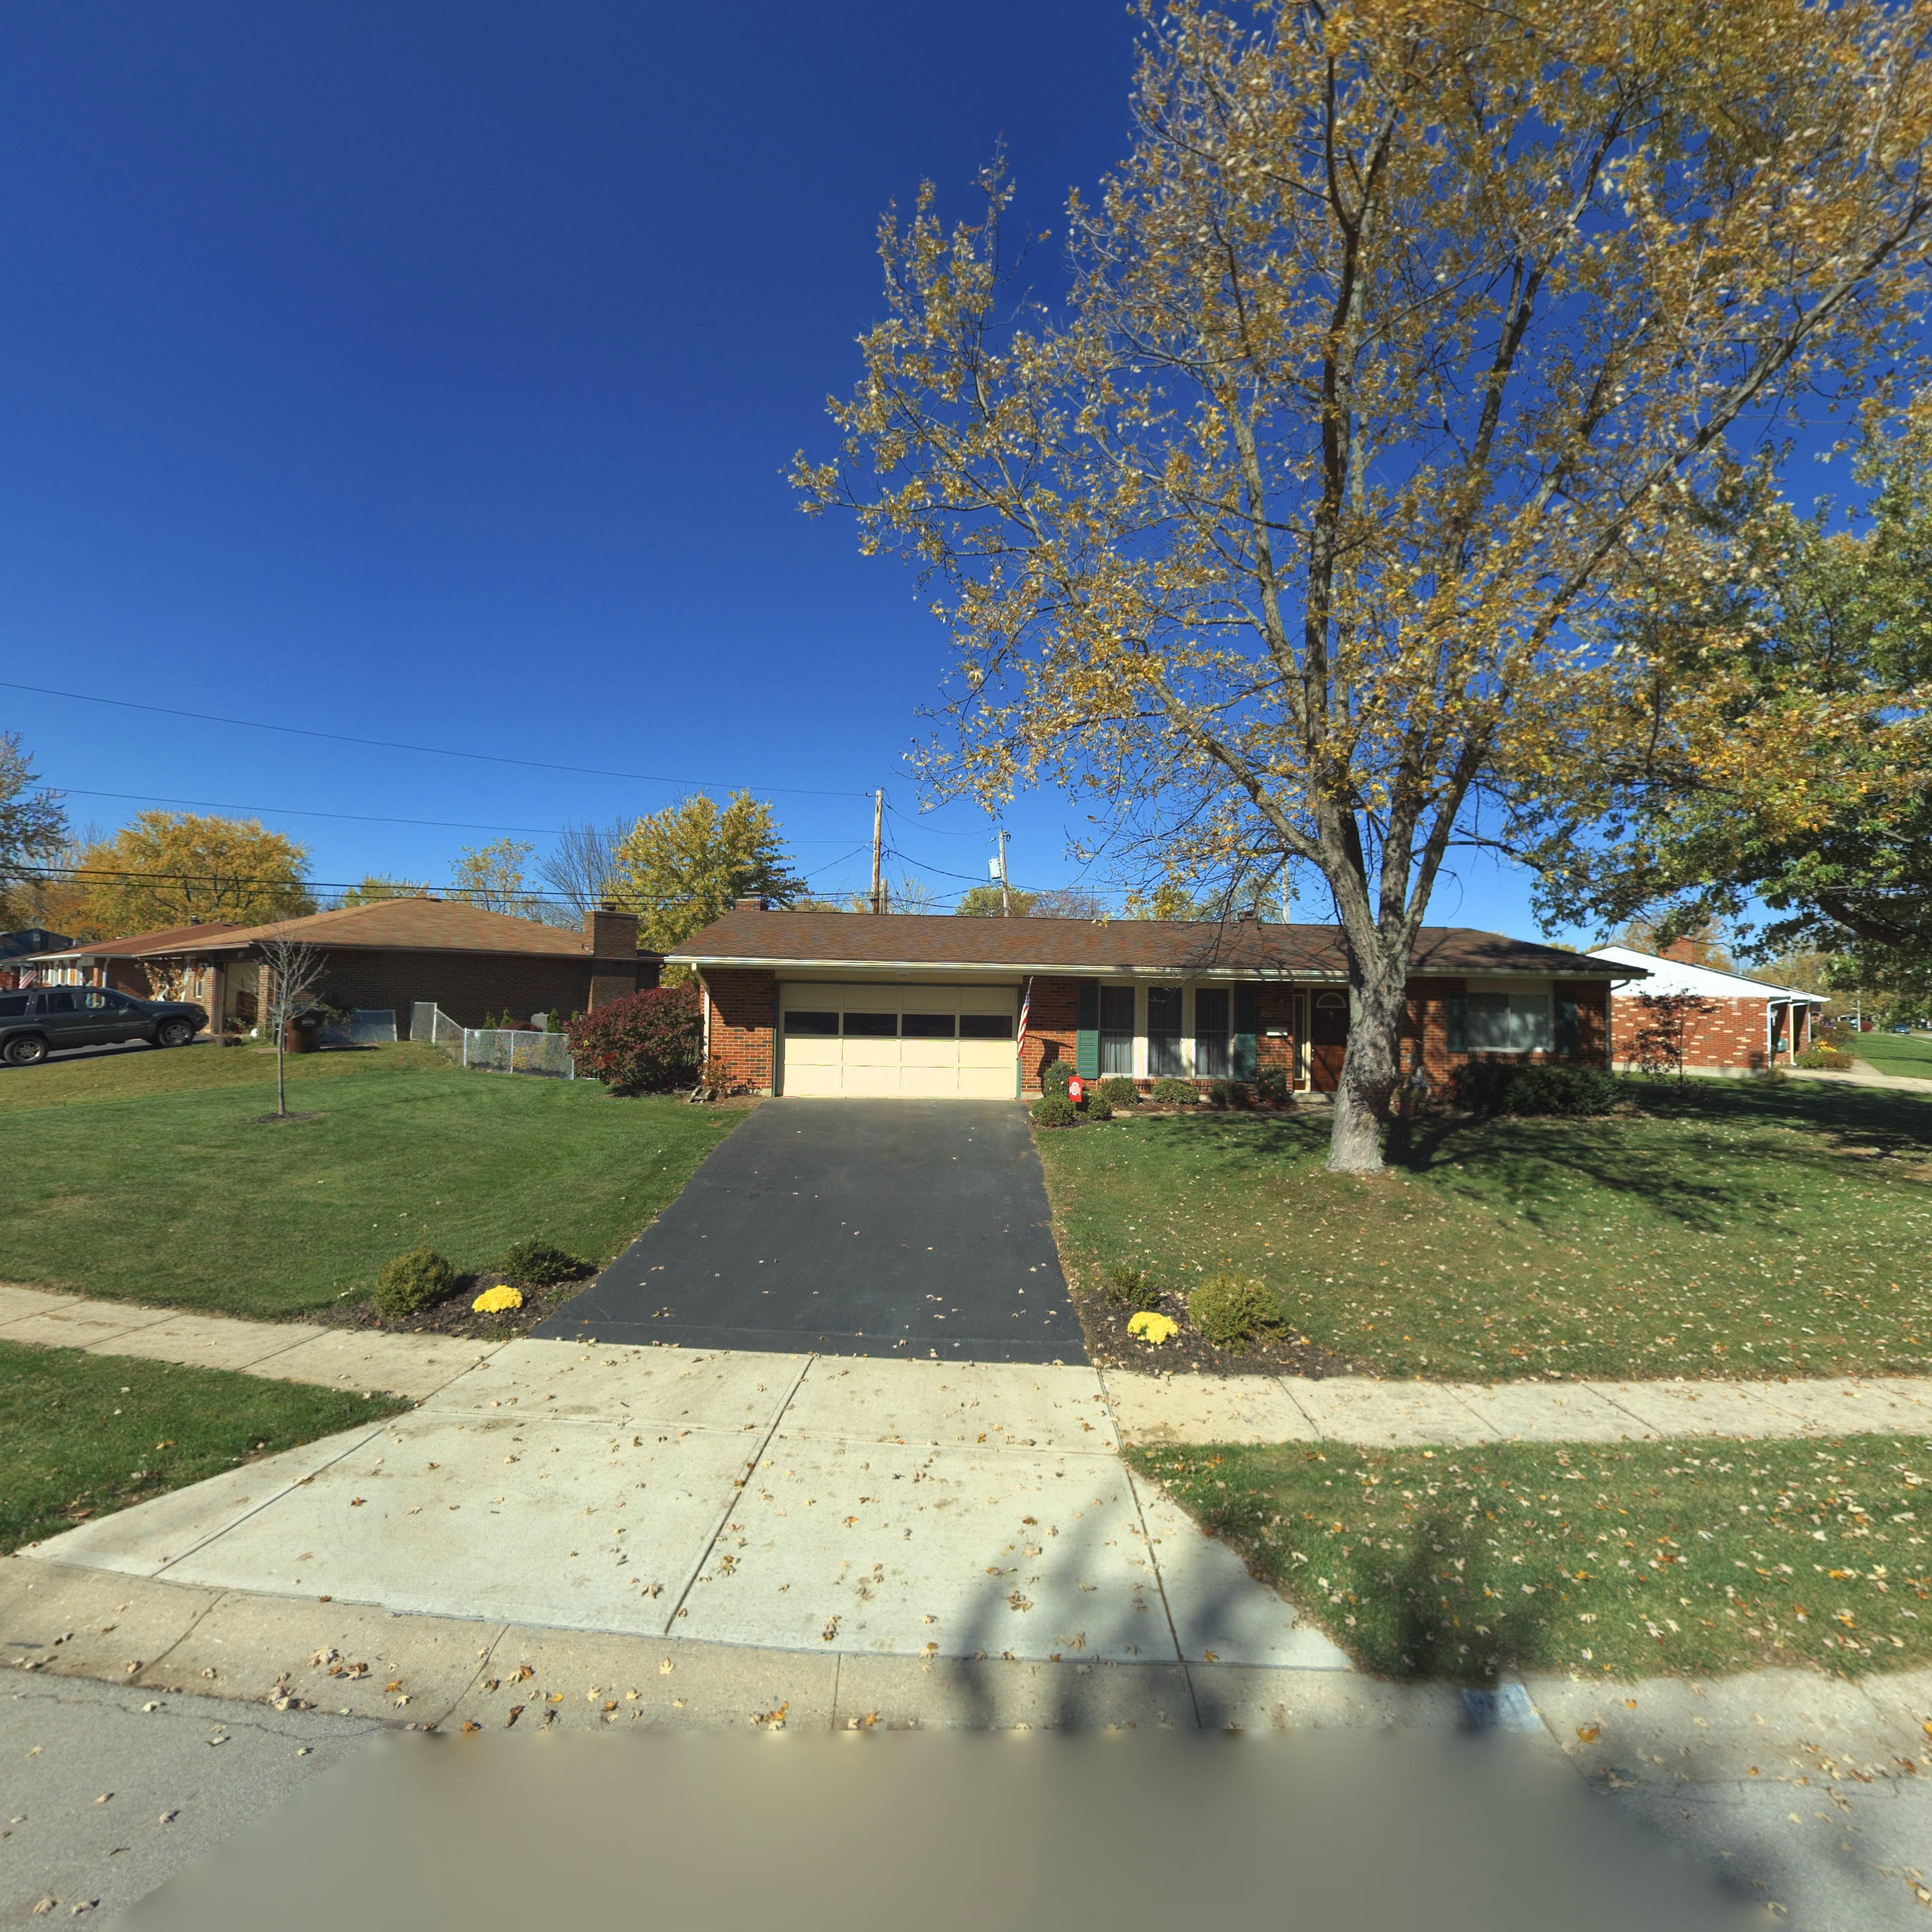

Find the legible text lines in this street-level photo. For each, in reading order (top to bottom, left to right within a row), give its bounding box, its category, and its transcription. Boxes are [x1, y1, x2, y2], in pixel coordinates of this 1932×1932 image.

[1260, 1010, 1271, 1020] StreetNumber: 211
[1501, 1690, 1525, 1722] StreetNumber: 1